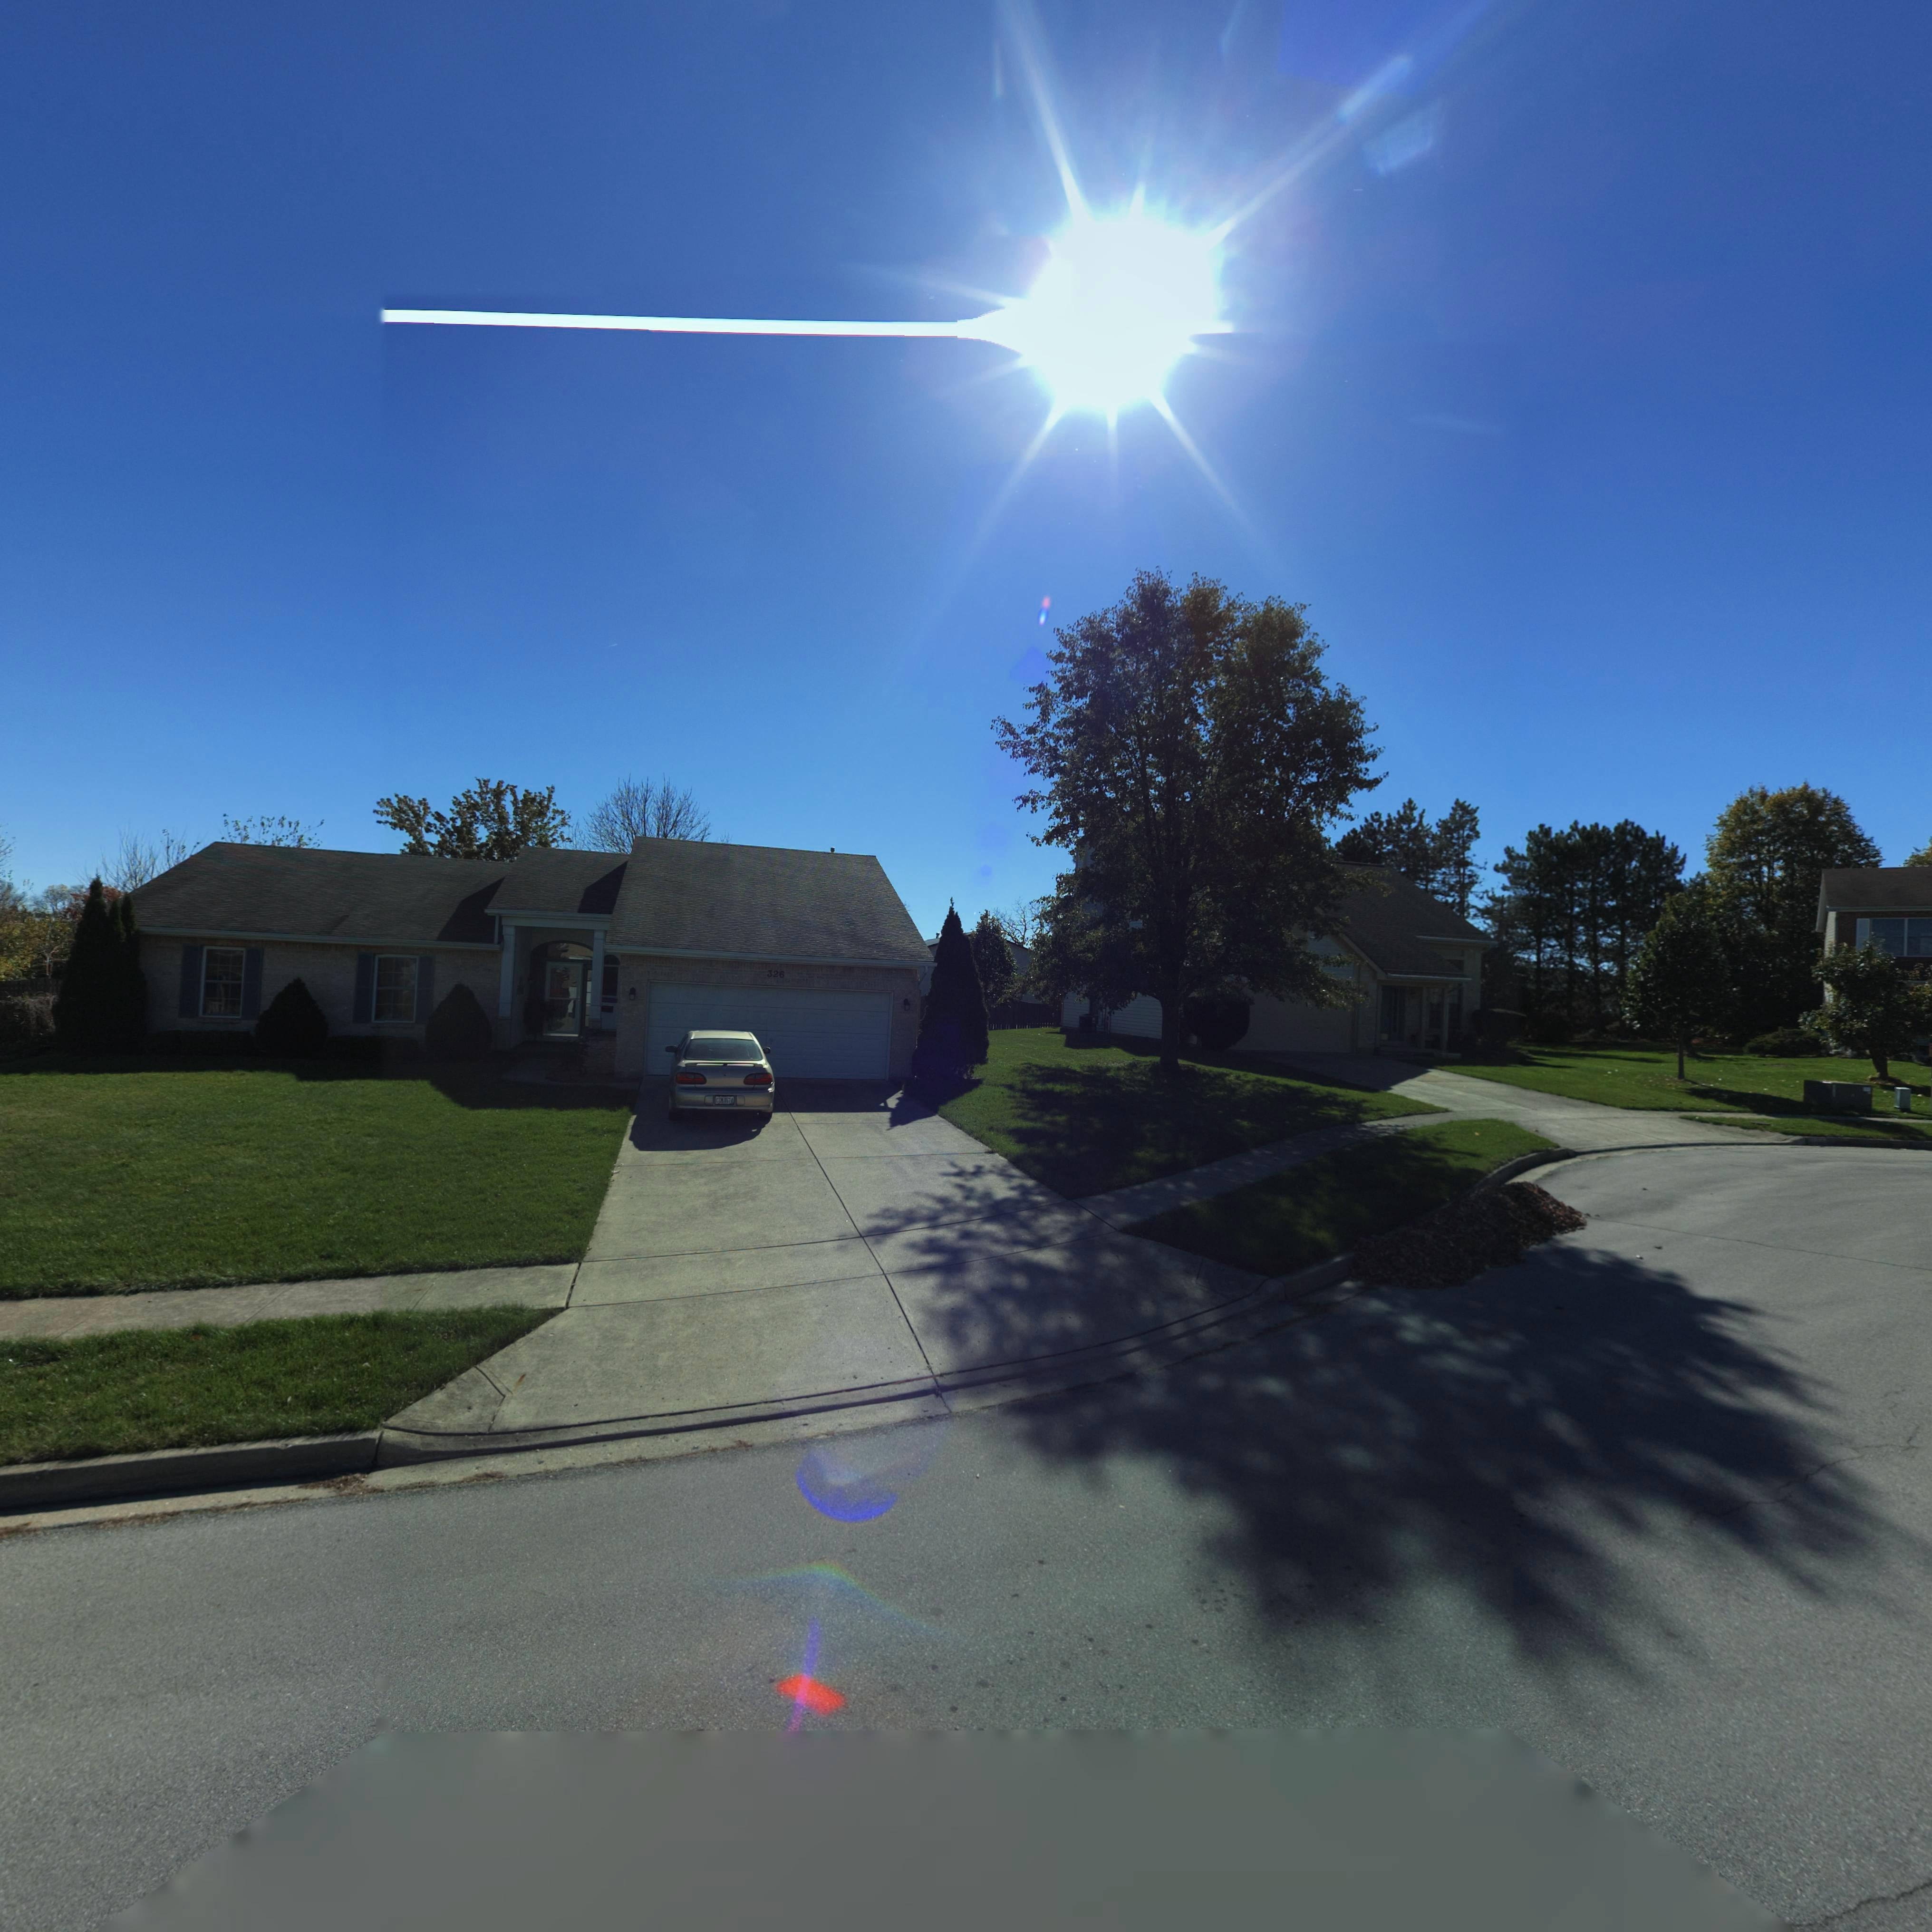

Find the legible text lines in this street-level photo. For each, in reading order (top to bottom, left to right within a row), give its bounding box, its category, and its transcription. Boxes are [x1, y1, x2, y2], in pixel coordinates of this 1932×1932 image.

[766, 969, 786, 979] StreetNumber: 326